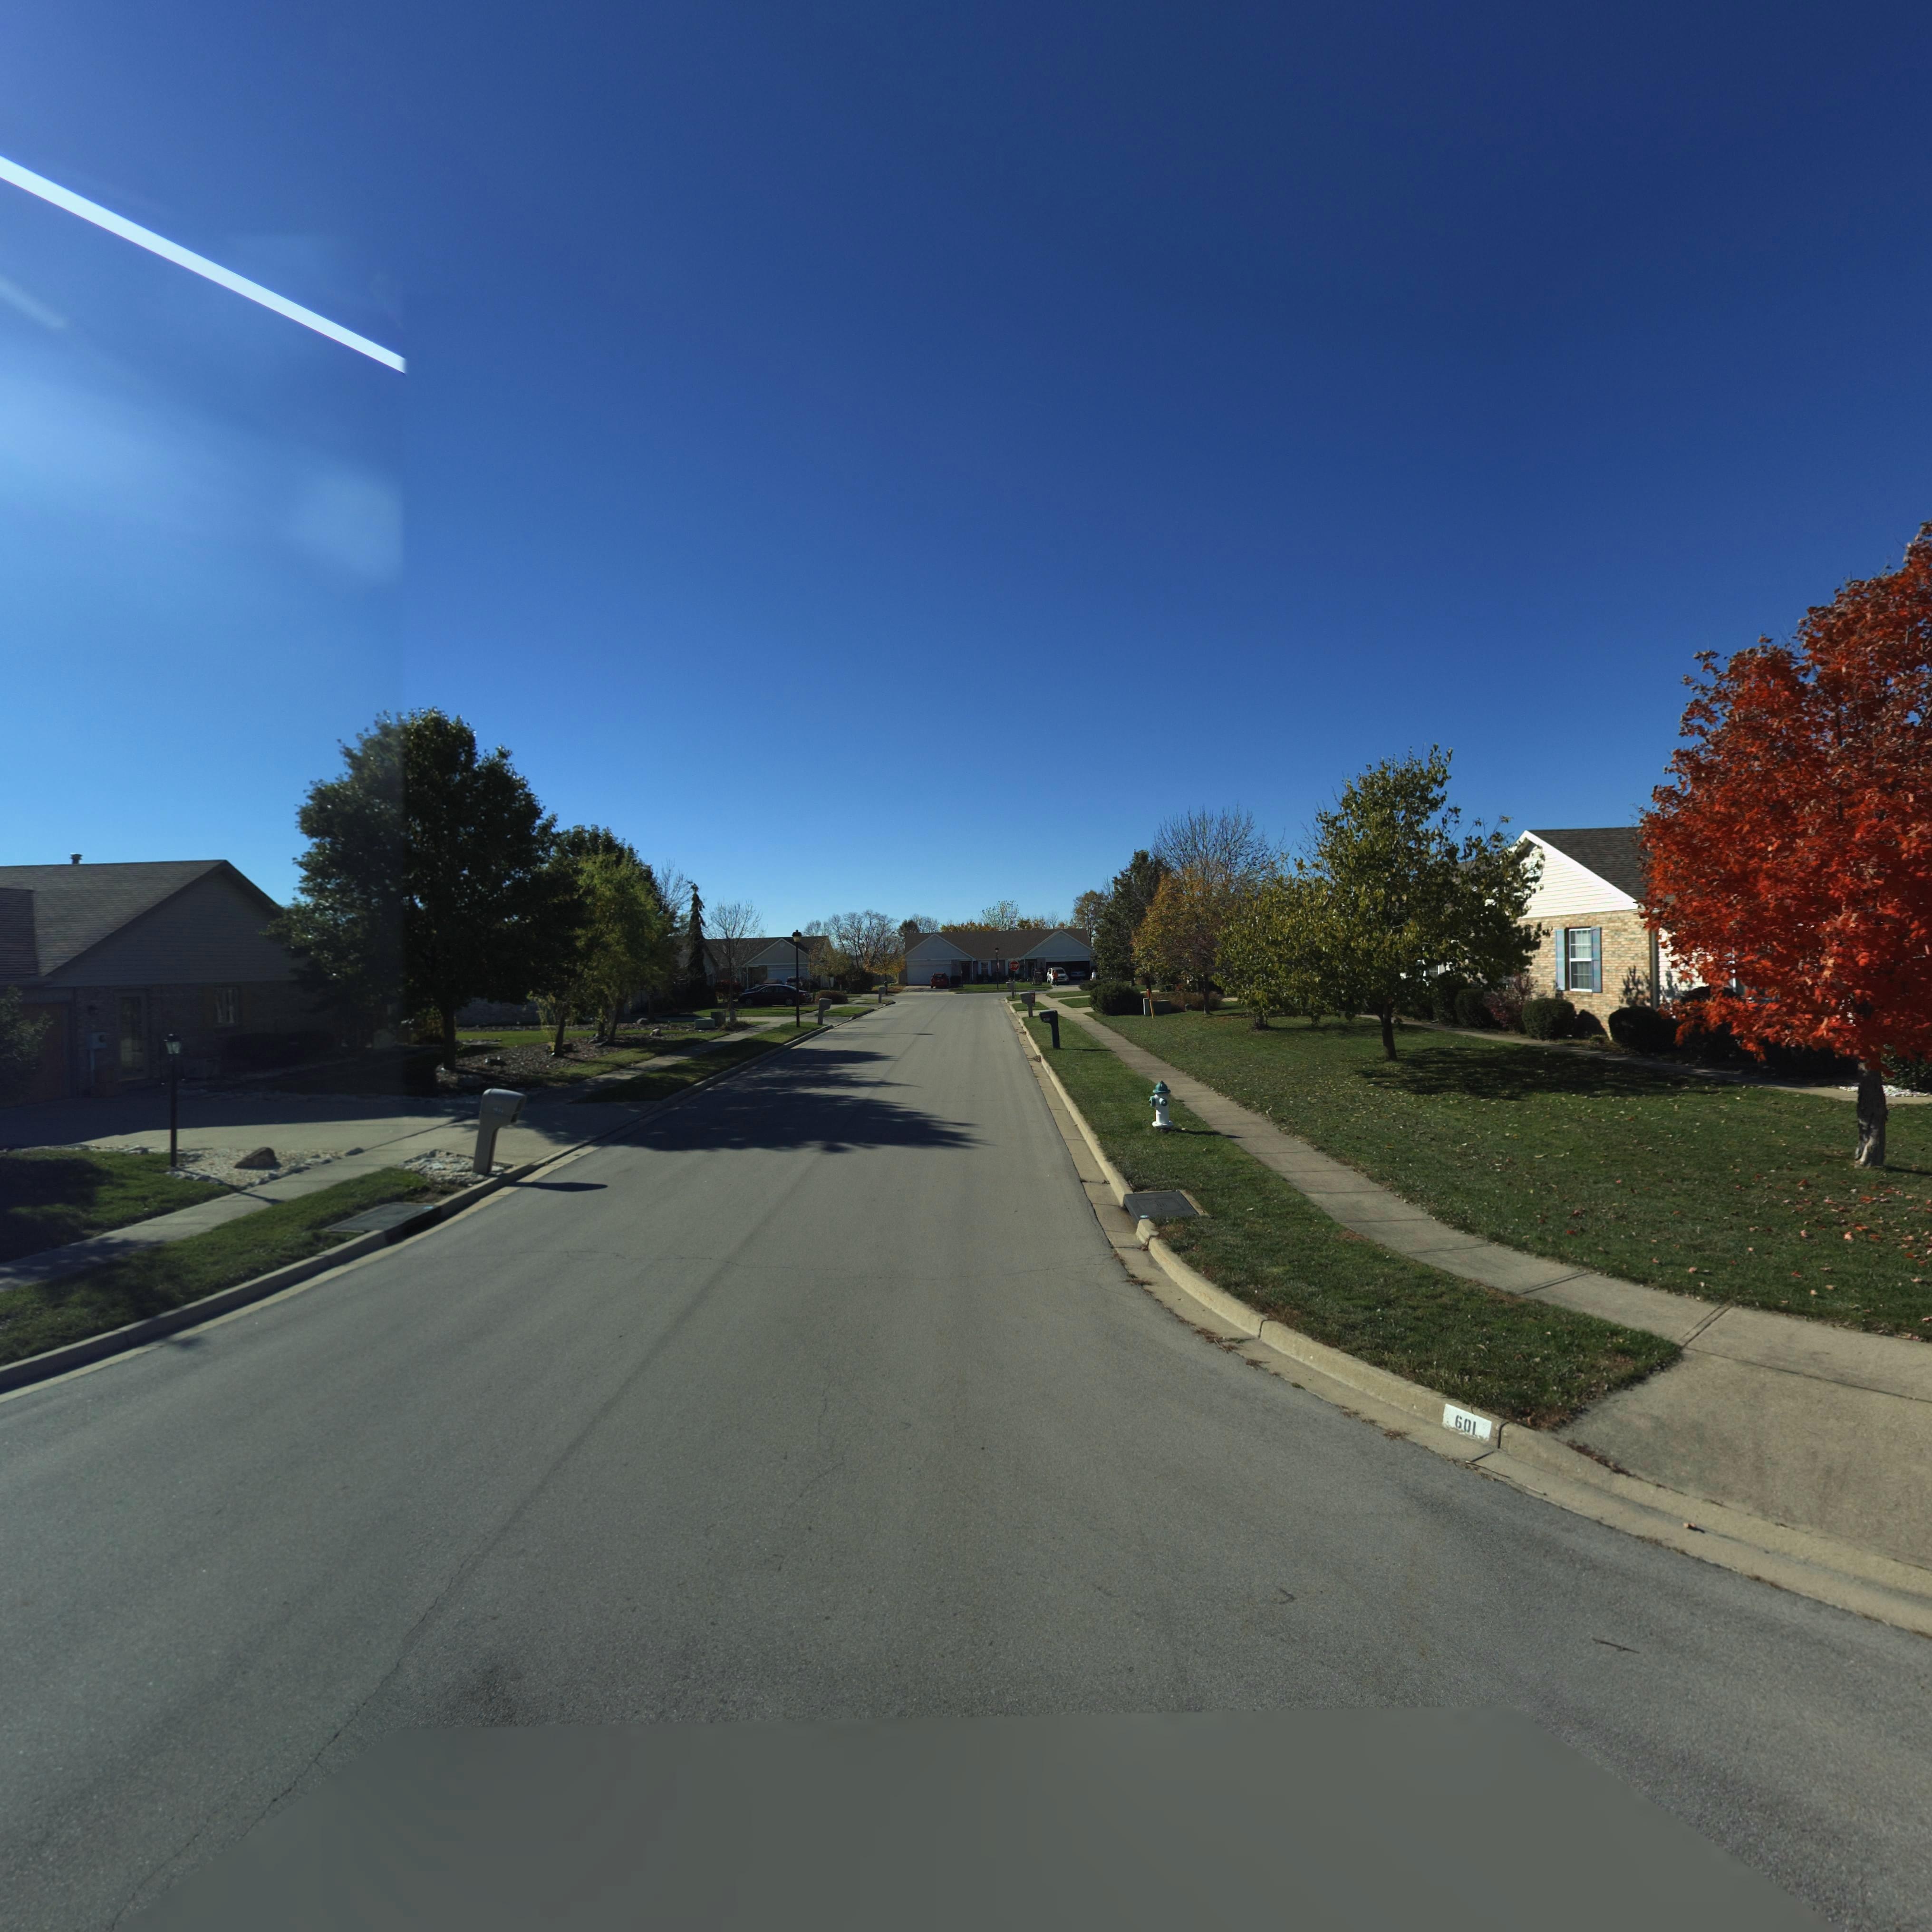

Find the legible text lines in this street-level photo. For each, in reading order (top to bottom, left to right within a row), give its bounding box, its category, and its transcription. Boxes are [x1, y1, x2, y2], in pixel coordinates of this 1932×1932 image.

[1454, 1414, 1477, 1437] StreetNumber: 601